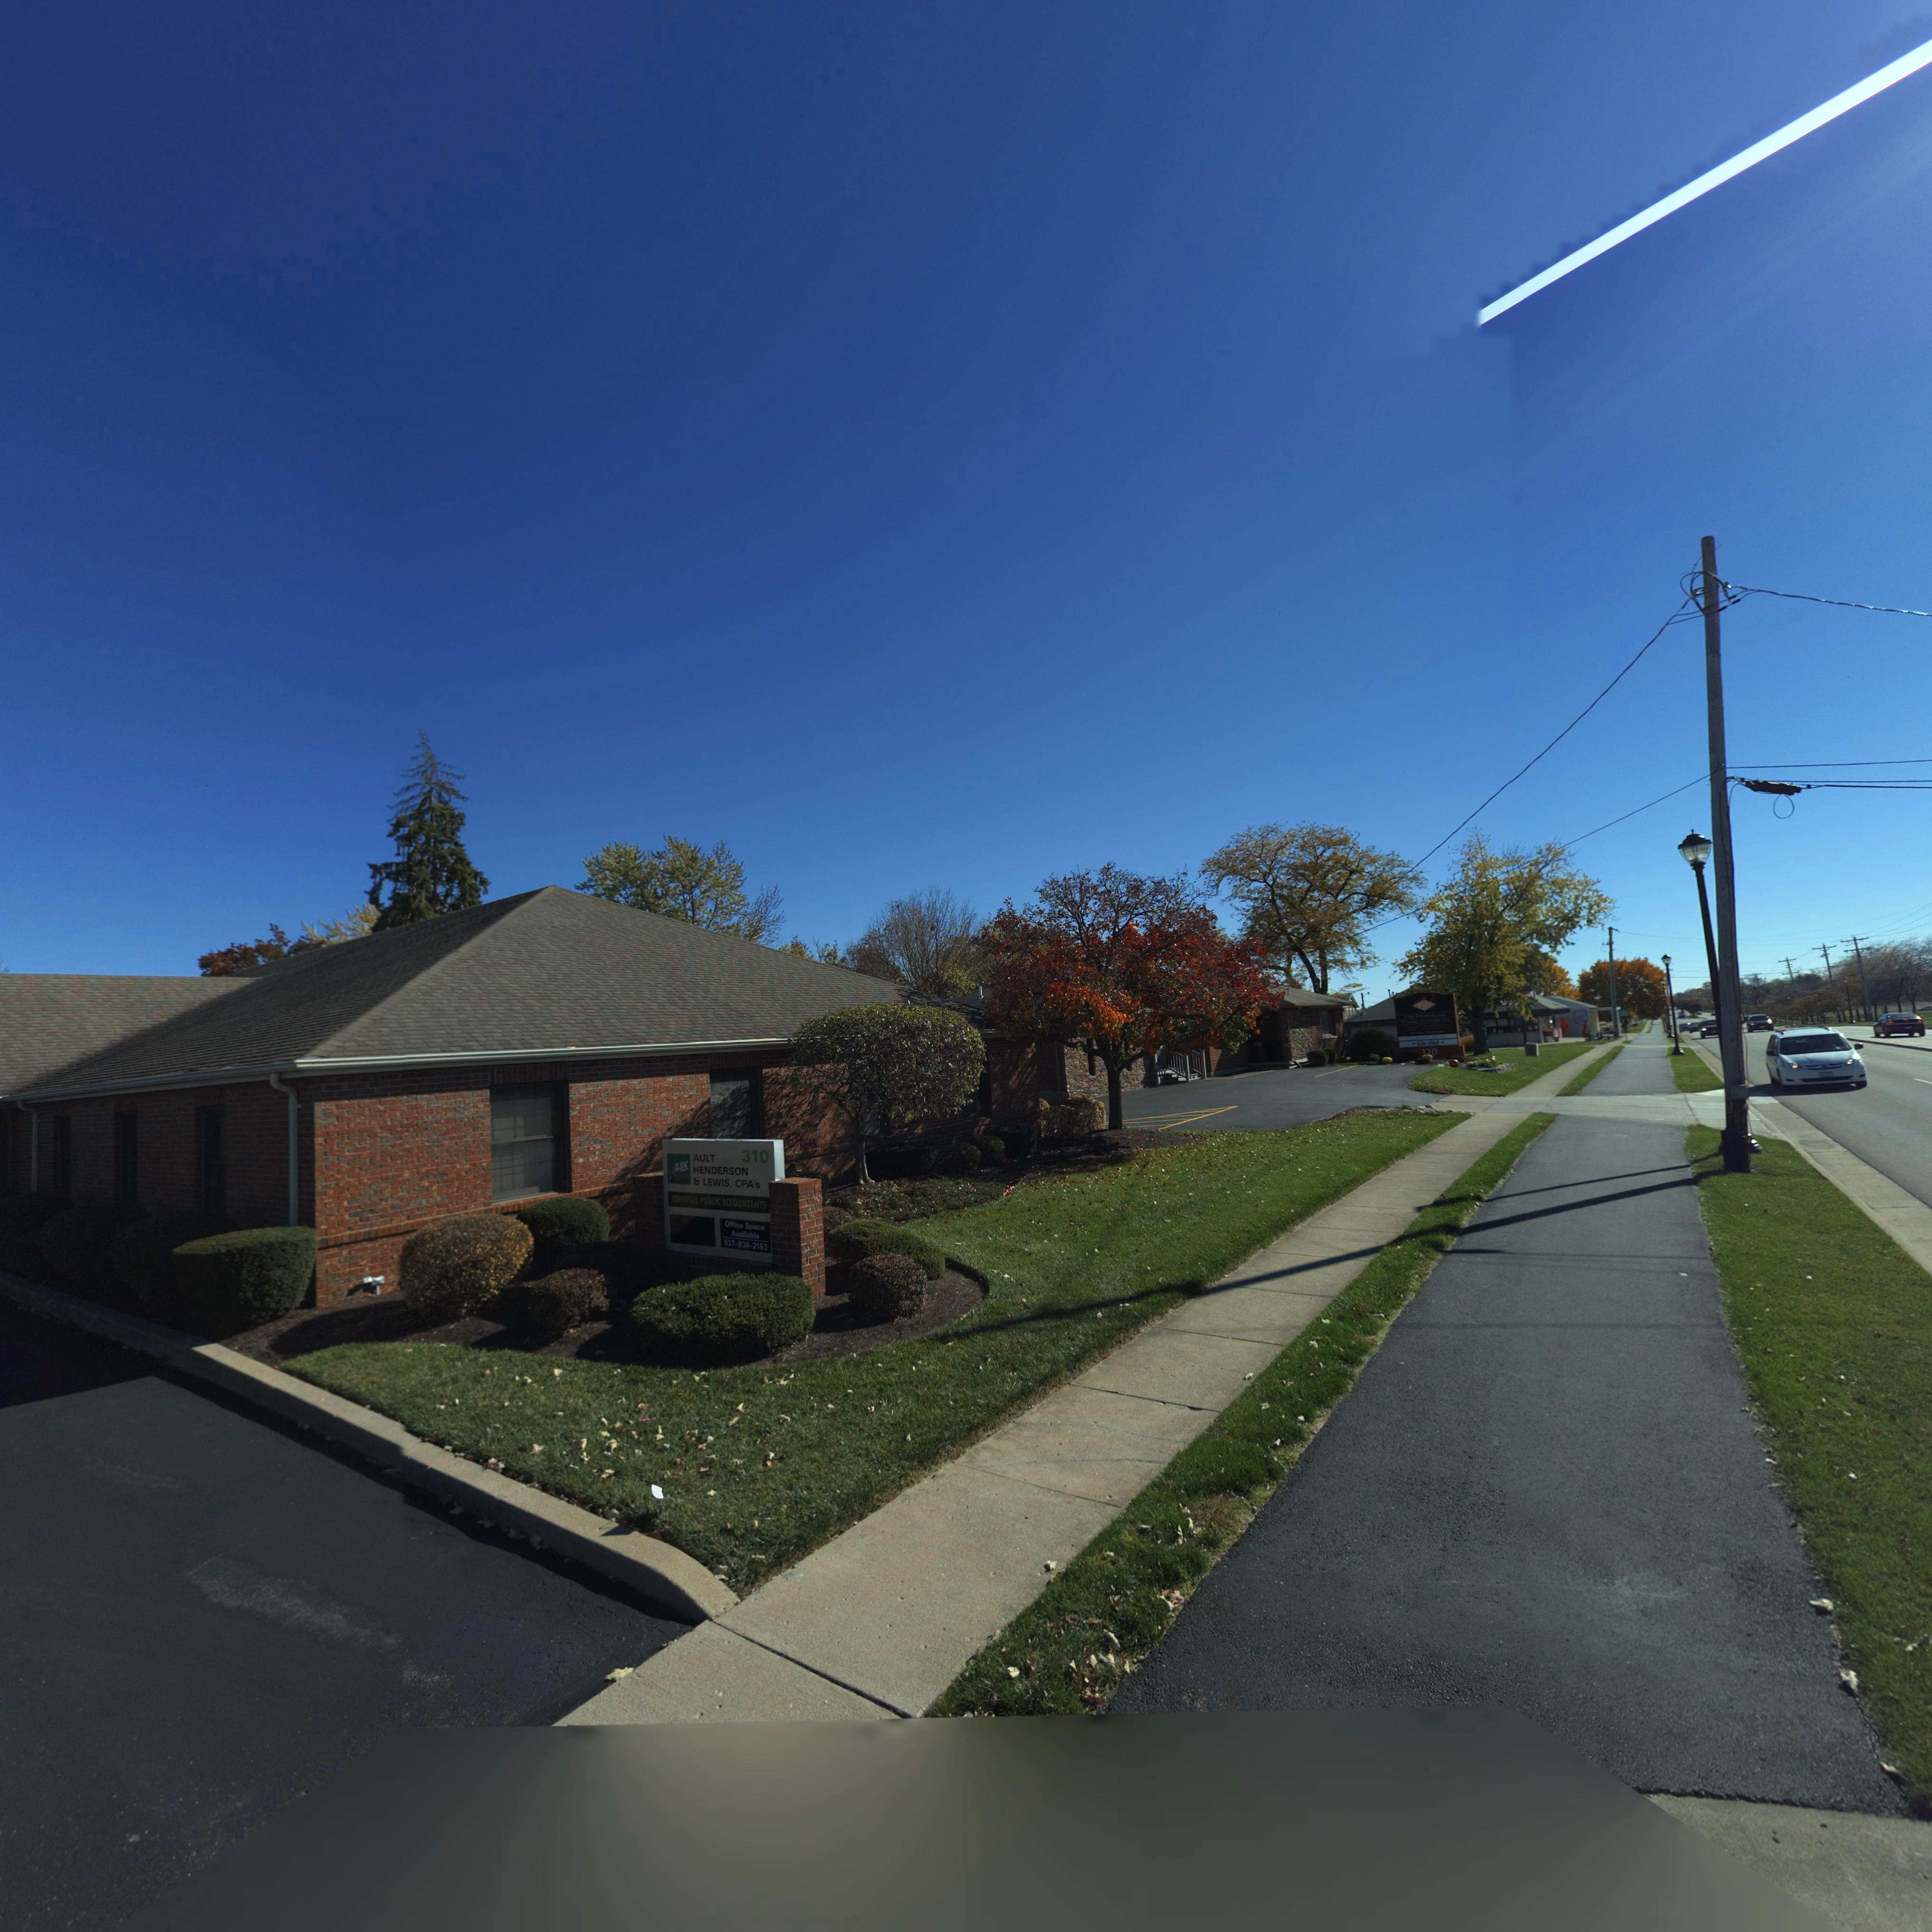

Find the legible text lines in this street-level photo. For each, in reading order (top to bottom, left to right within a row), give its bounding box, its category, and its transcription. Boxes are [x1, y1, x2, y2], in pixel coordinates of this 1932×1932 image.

[1416, 1040, 1440, 1046] None: 836-3565
[1420, 1047, 1438, 1057] StreetNumber: **0
[692, 1153, 717, 1163] BusinessName: AULT
[740, 1149, 770, 1165] StreetNumber: 310
[673, 1161, 681, 1173] None: A
[692, 1165, 749, 1176] BusinessName: HENDERSON
[693, 1177, 761, 1189] BusinessName: & LEWIS, CPA's
[671, 1194, 767, 1210] None: CERTIFIED PUBLIC ACCOUNTANTS
[724, 1219, 766, 1231] None: Office Space
[730, 1229, 760, 1240] None: Available\
[723, 1238, 768, 1251] None: 937-836-2163